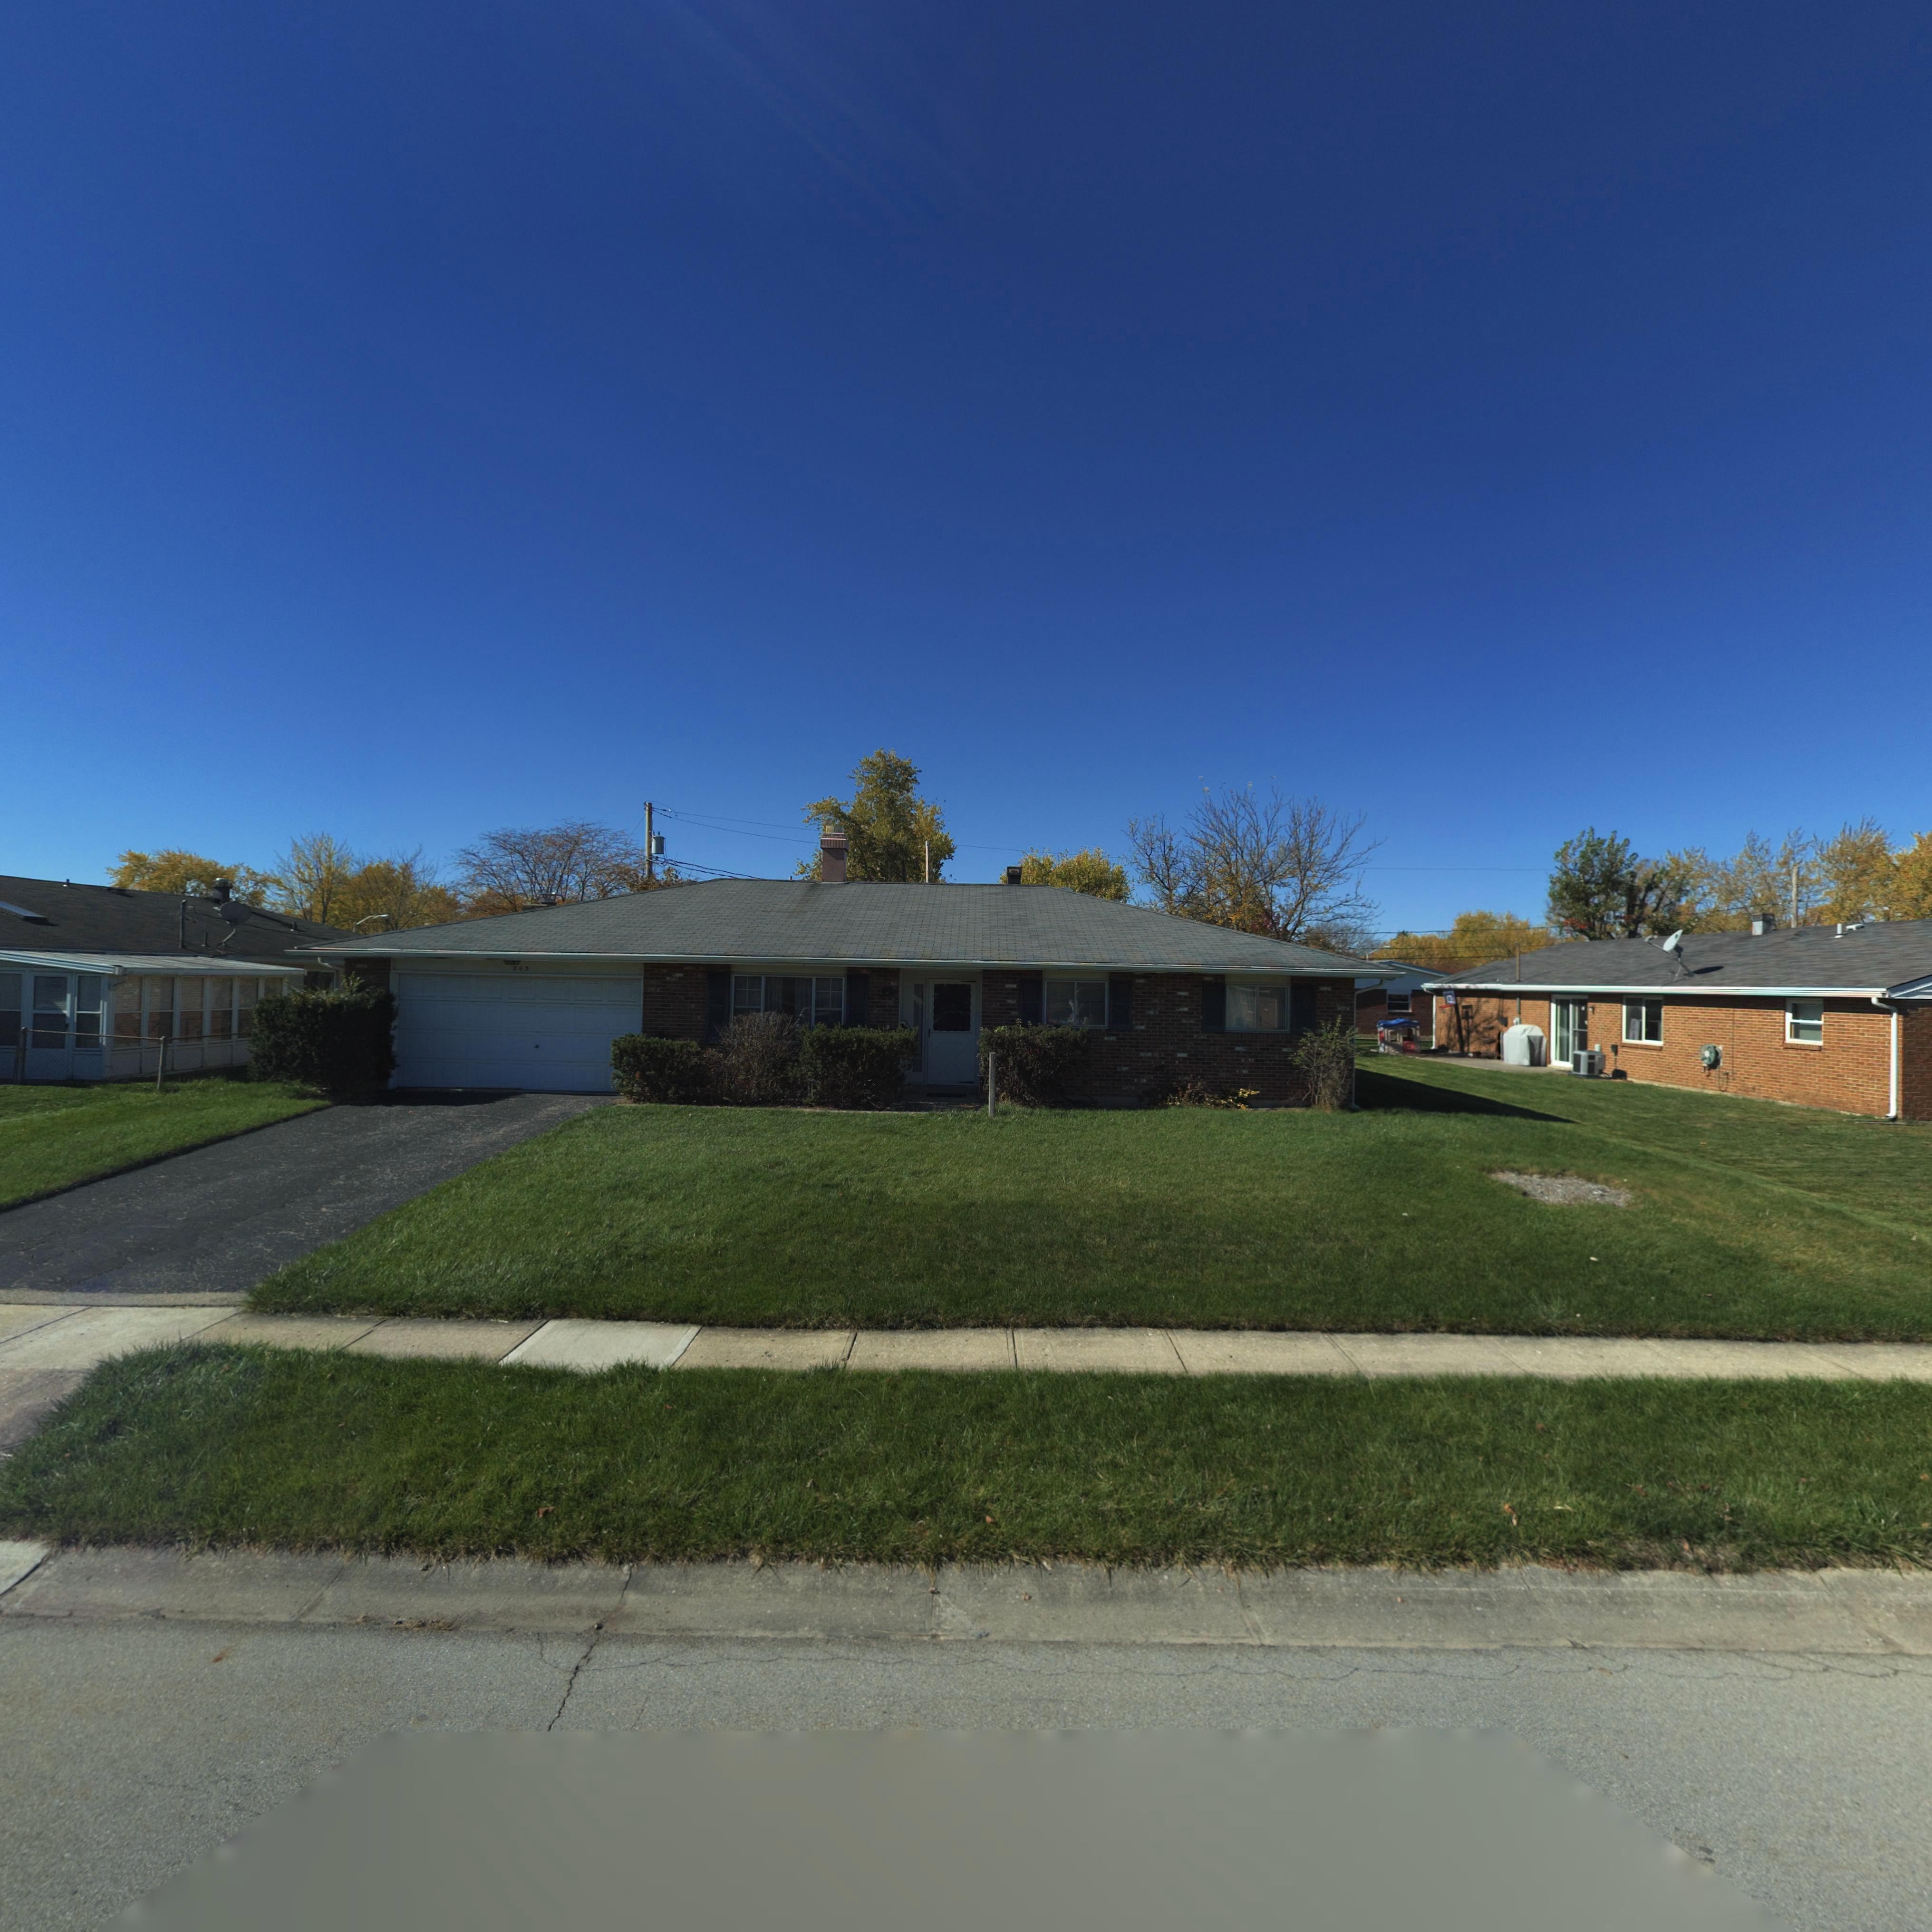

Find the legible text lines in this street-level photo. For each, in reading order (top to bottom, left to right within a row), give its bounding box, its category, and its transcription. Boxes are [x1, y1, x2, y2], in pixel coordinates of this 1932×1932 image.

[512, 966, 529, 971] StreetNumber: 203